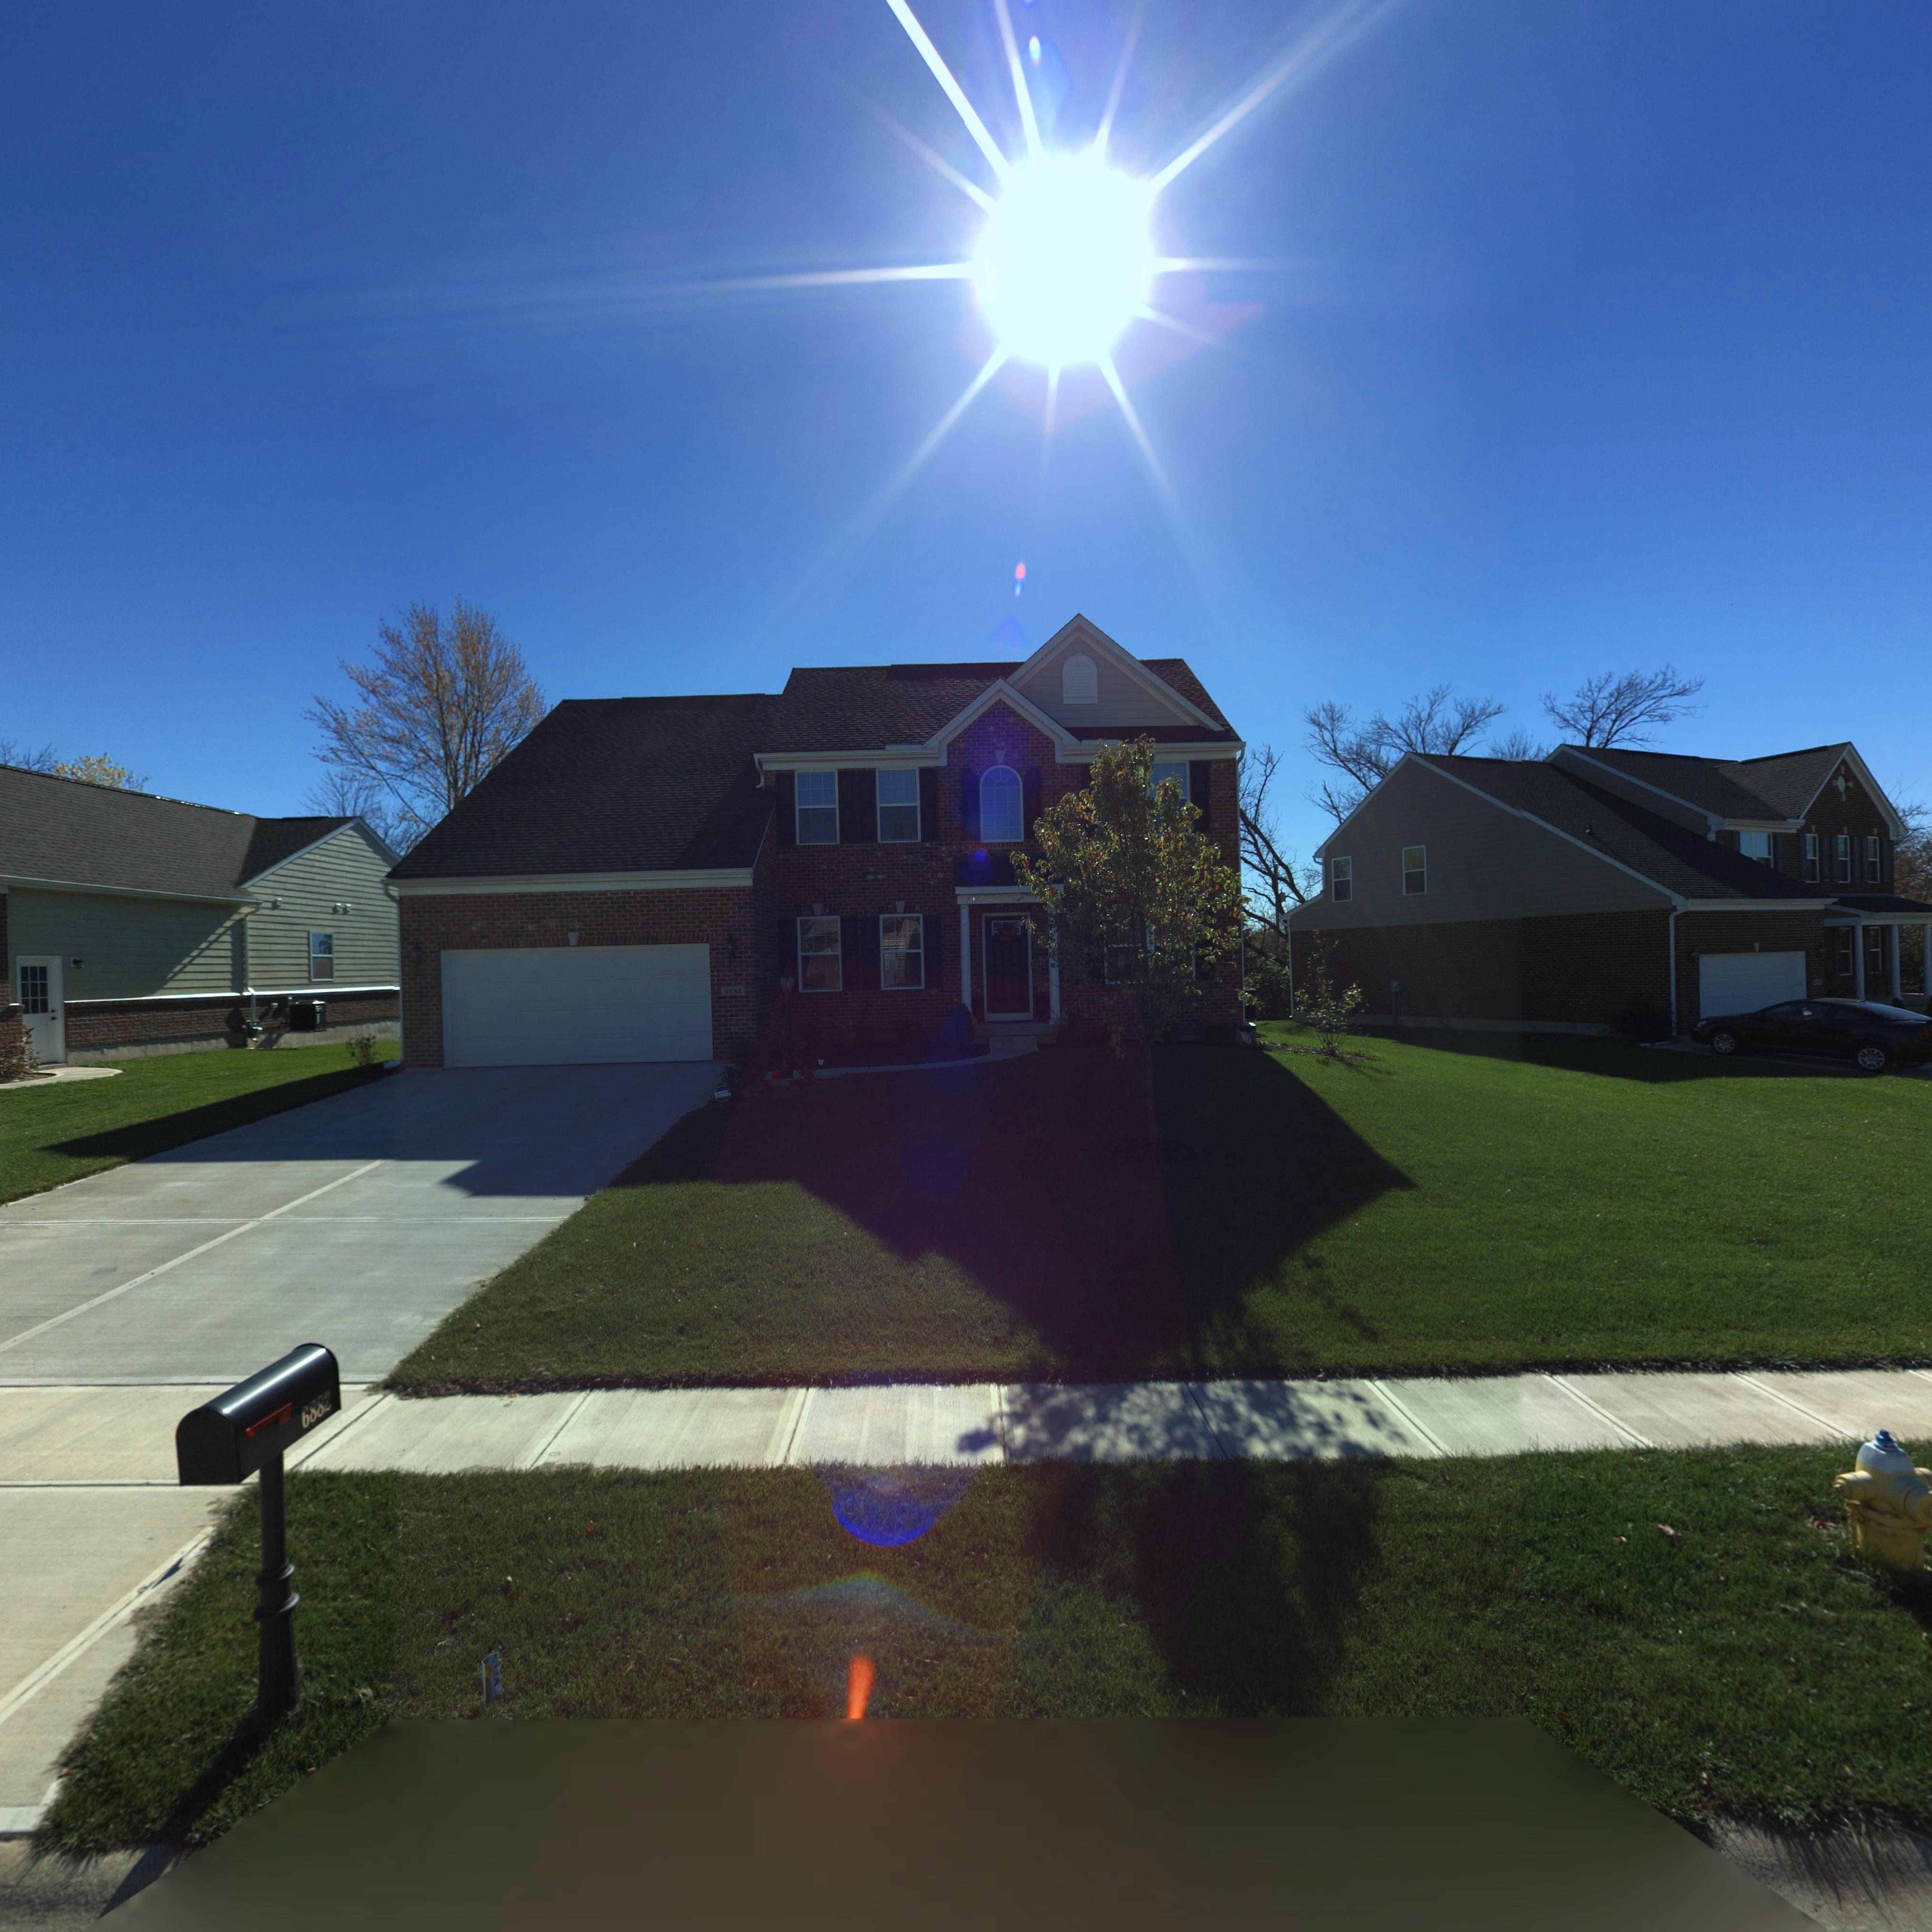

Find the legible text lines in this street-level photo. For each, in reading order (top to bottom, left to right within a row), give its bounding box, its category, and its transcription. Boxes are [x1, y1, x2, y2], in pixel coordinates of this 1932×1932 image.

[724, 987, 742, 995] StreetNumber: 6882
[299, 1387, 333, 1431] StreetNumber: 6882